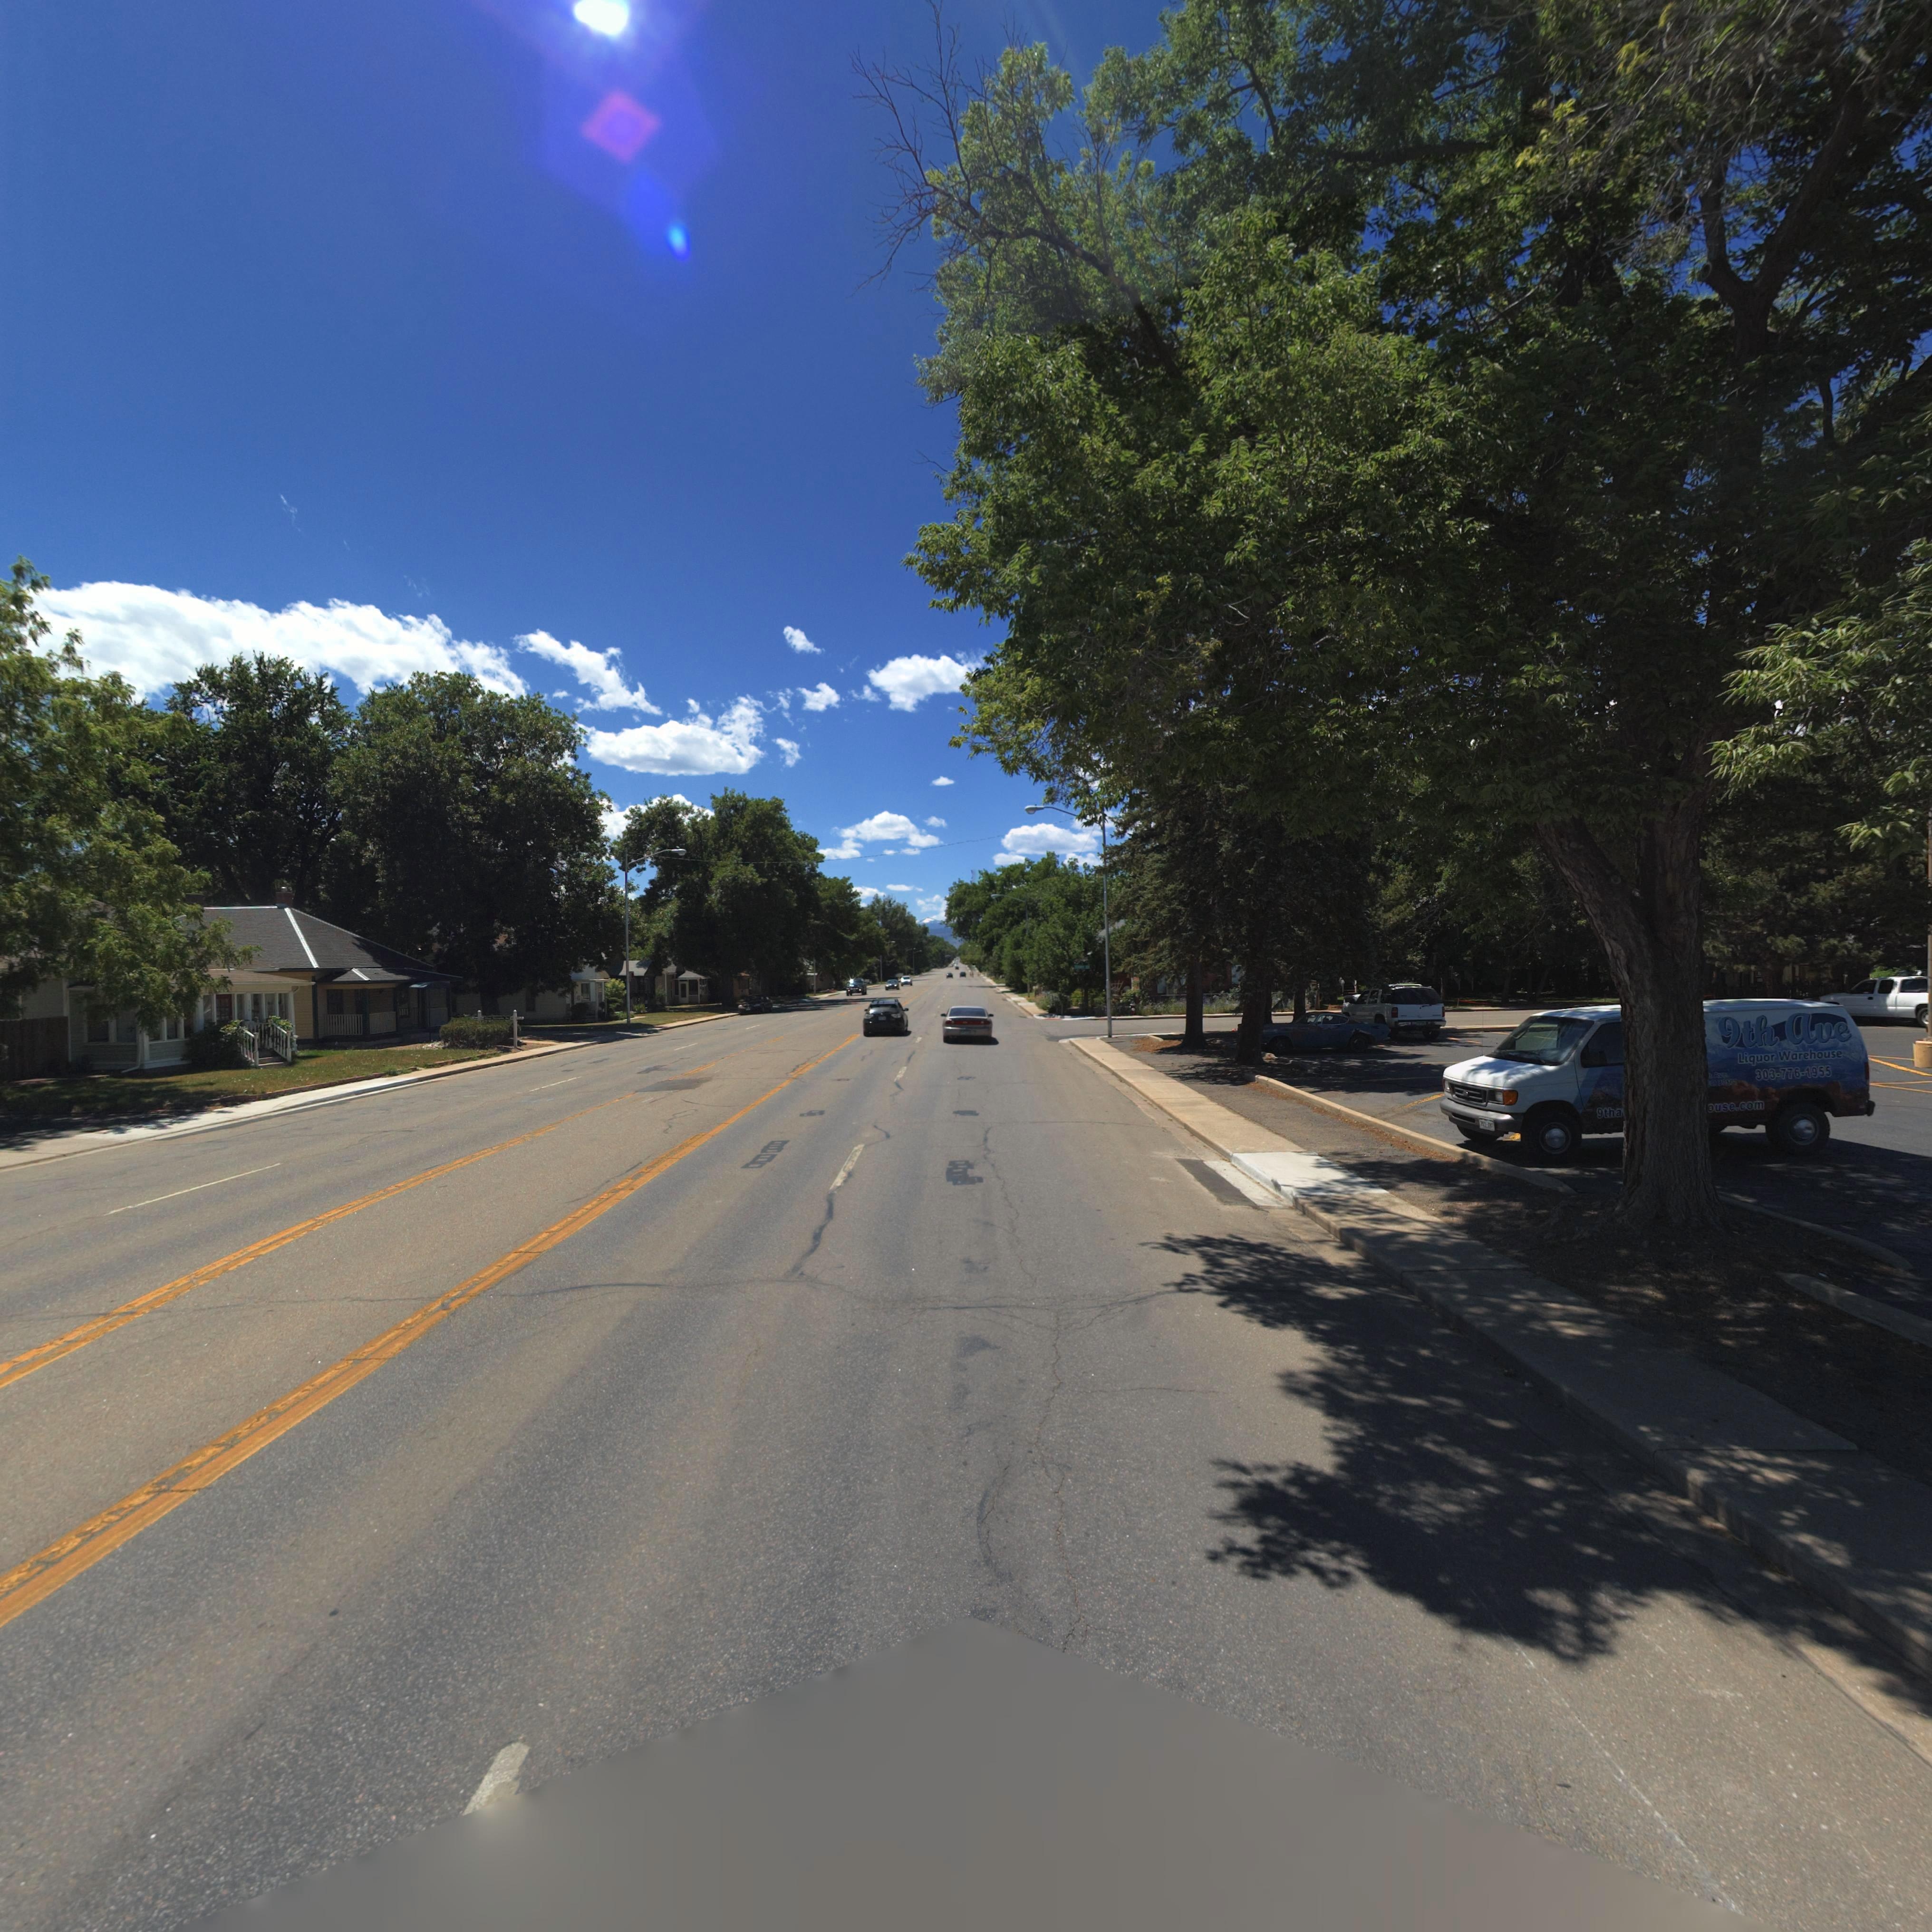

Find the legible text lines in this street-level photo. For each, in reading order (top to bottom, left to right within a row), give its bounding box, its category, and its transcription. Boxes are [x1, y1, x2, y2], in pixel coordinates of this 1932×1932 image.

[1074, 965, 1090, 969] StreetName: ****S ST
[247, 999, 251, 1013] StreetNumber: *19